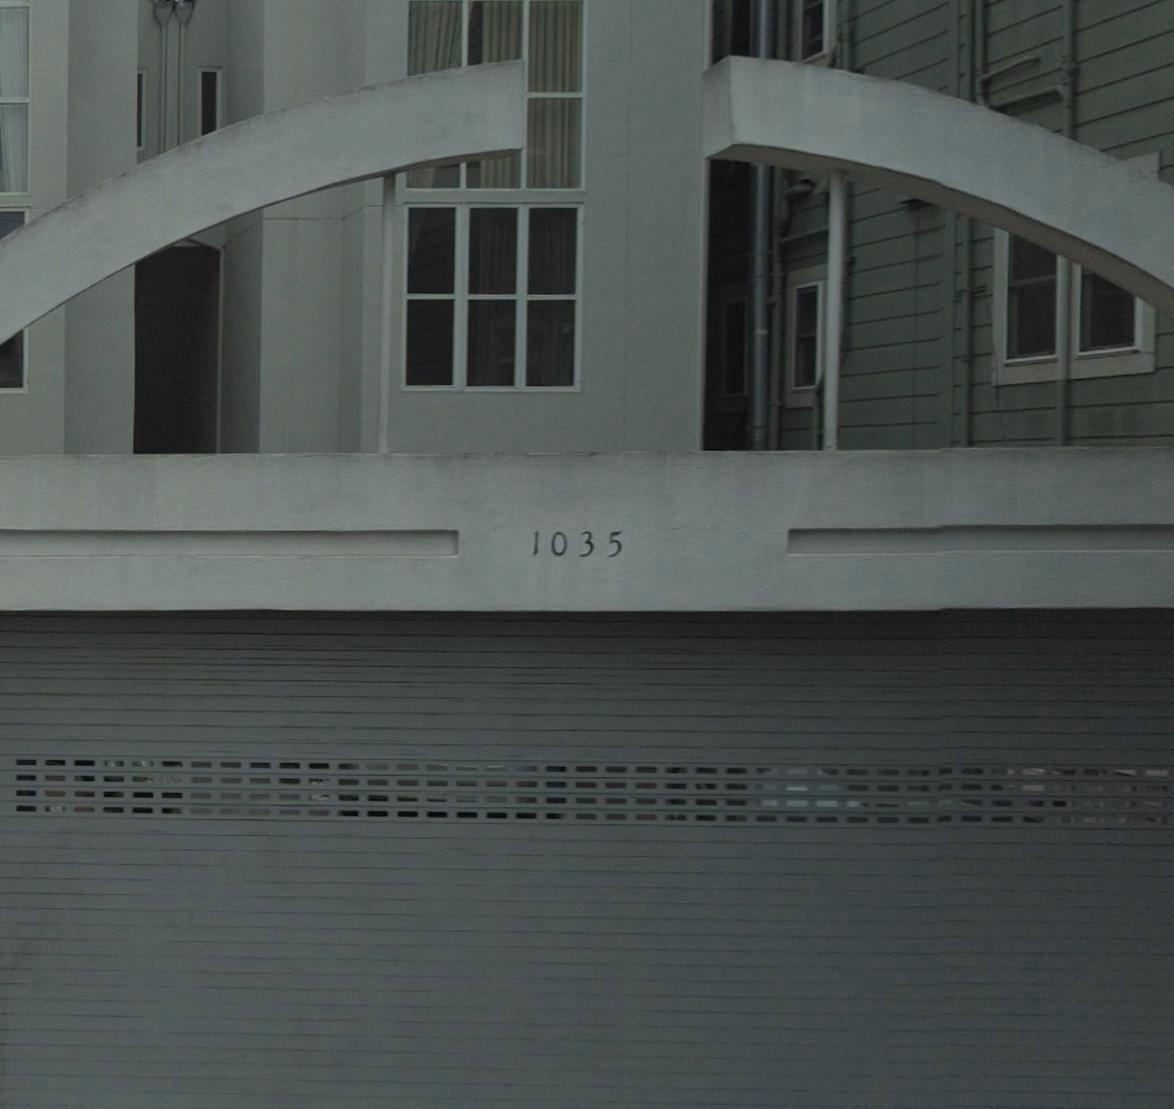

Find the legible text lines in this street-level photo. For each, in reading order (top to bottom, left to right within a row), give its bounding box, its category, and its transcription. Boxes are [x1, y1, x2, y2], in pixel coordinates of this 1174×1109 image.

[531, 528, 624, 559] StreetNumber: 1035